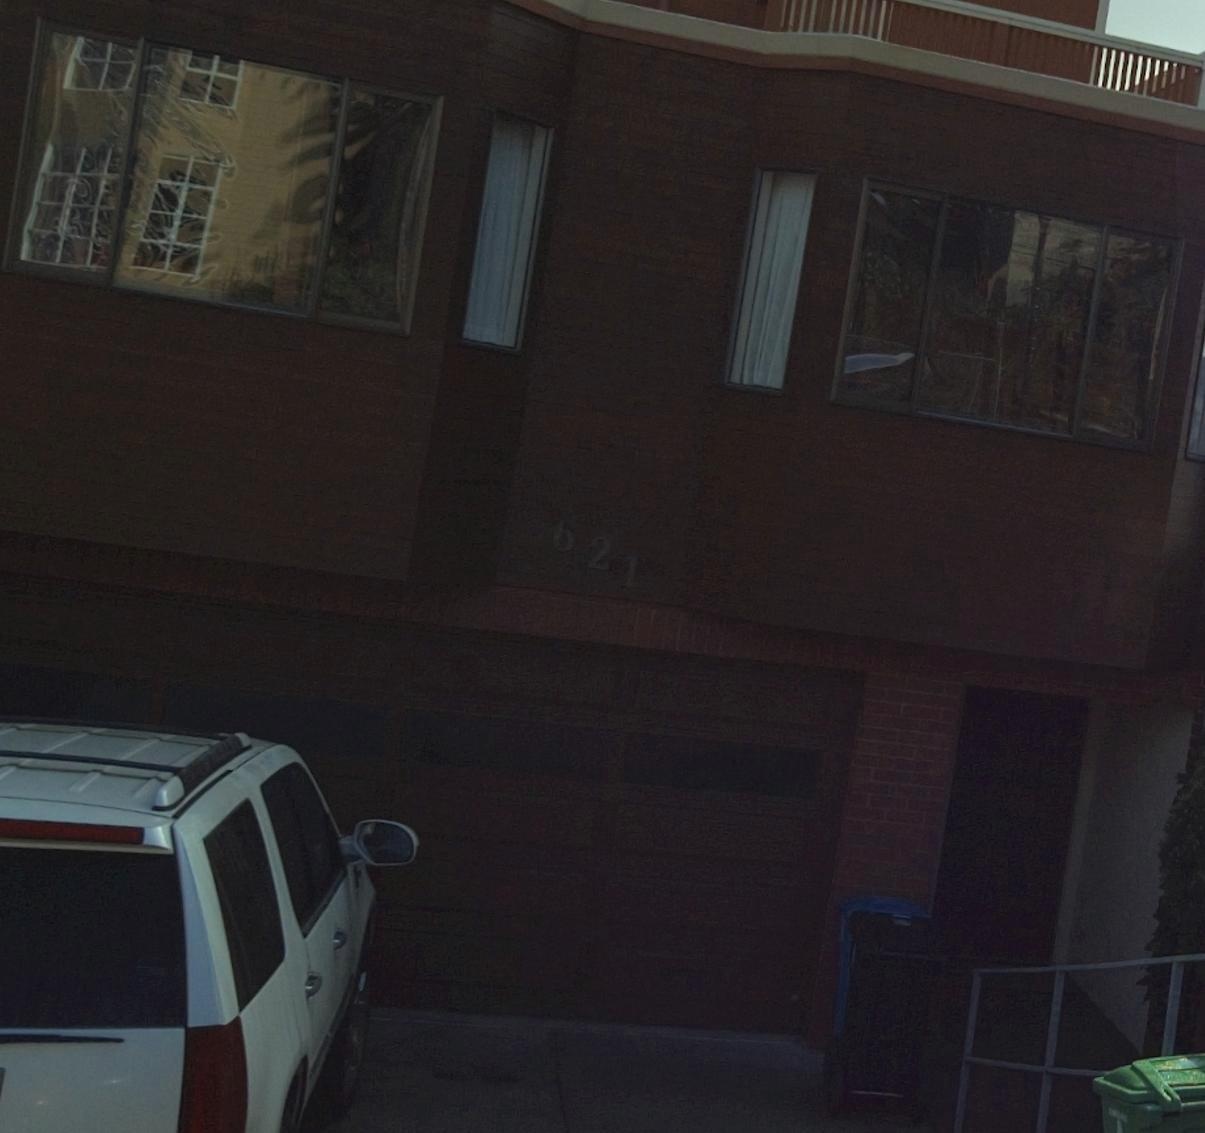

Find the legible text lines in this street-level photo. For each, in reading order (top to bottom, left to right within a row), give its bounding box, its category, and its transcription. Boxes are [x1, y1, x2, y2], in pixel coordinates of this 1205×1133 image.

[550, 506, 645, 595] StreetNumber: 621